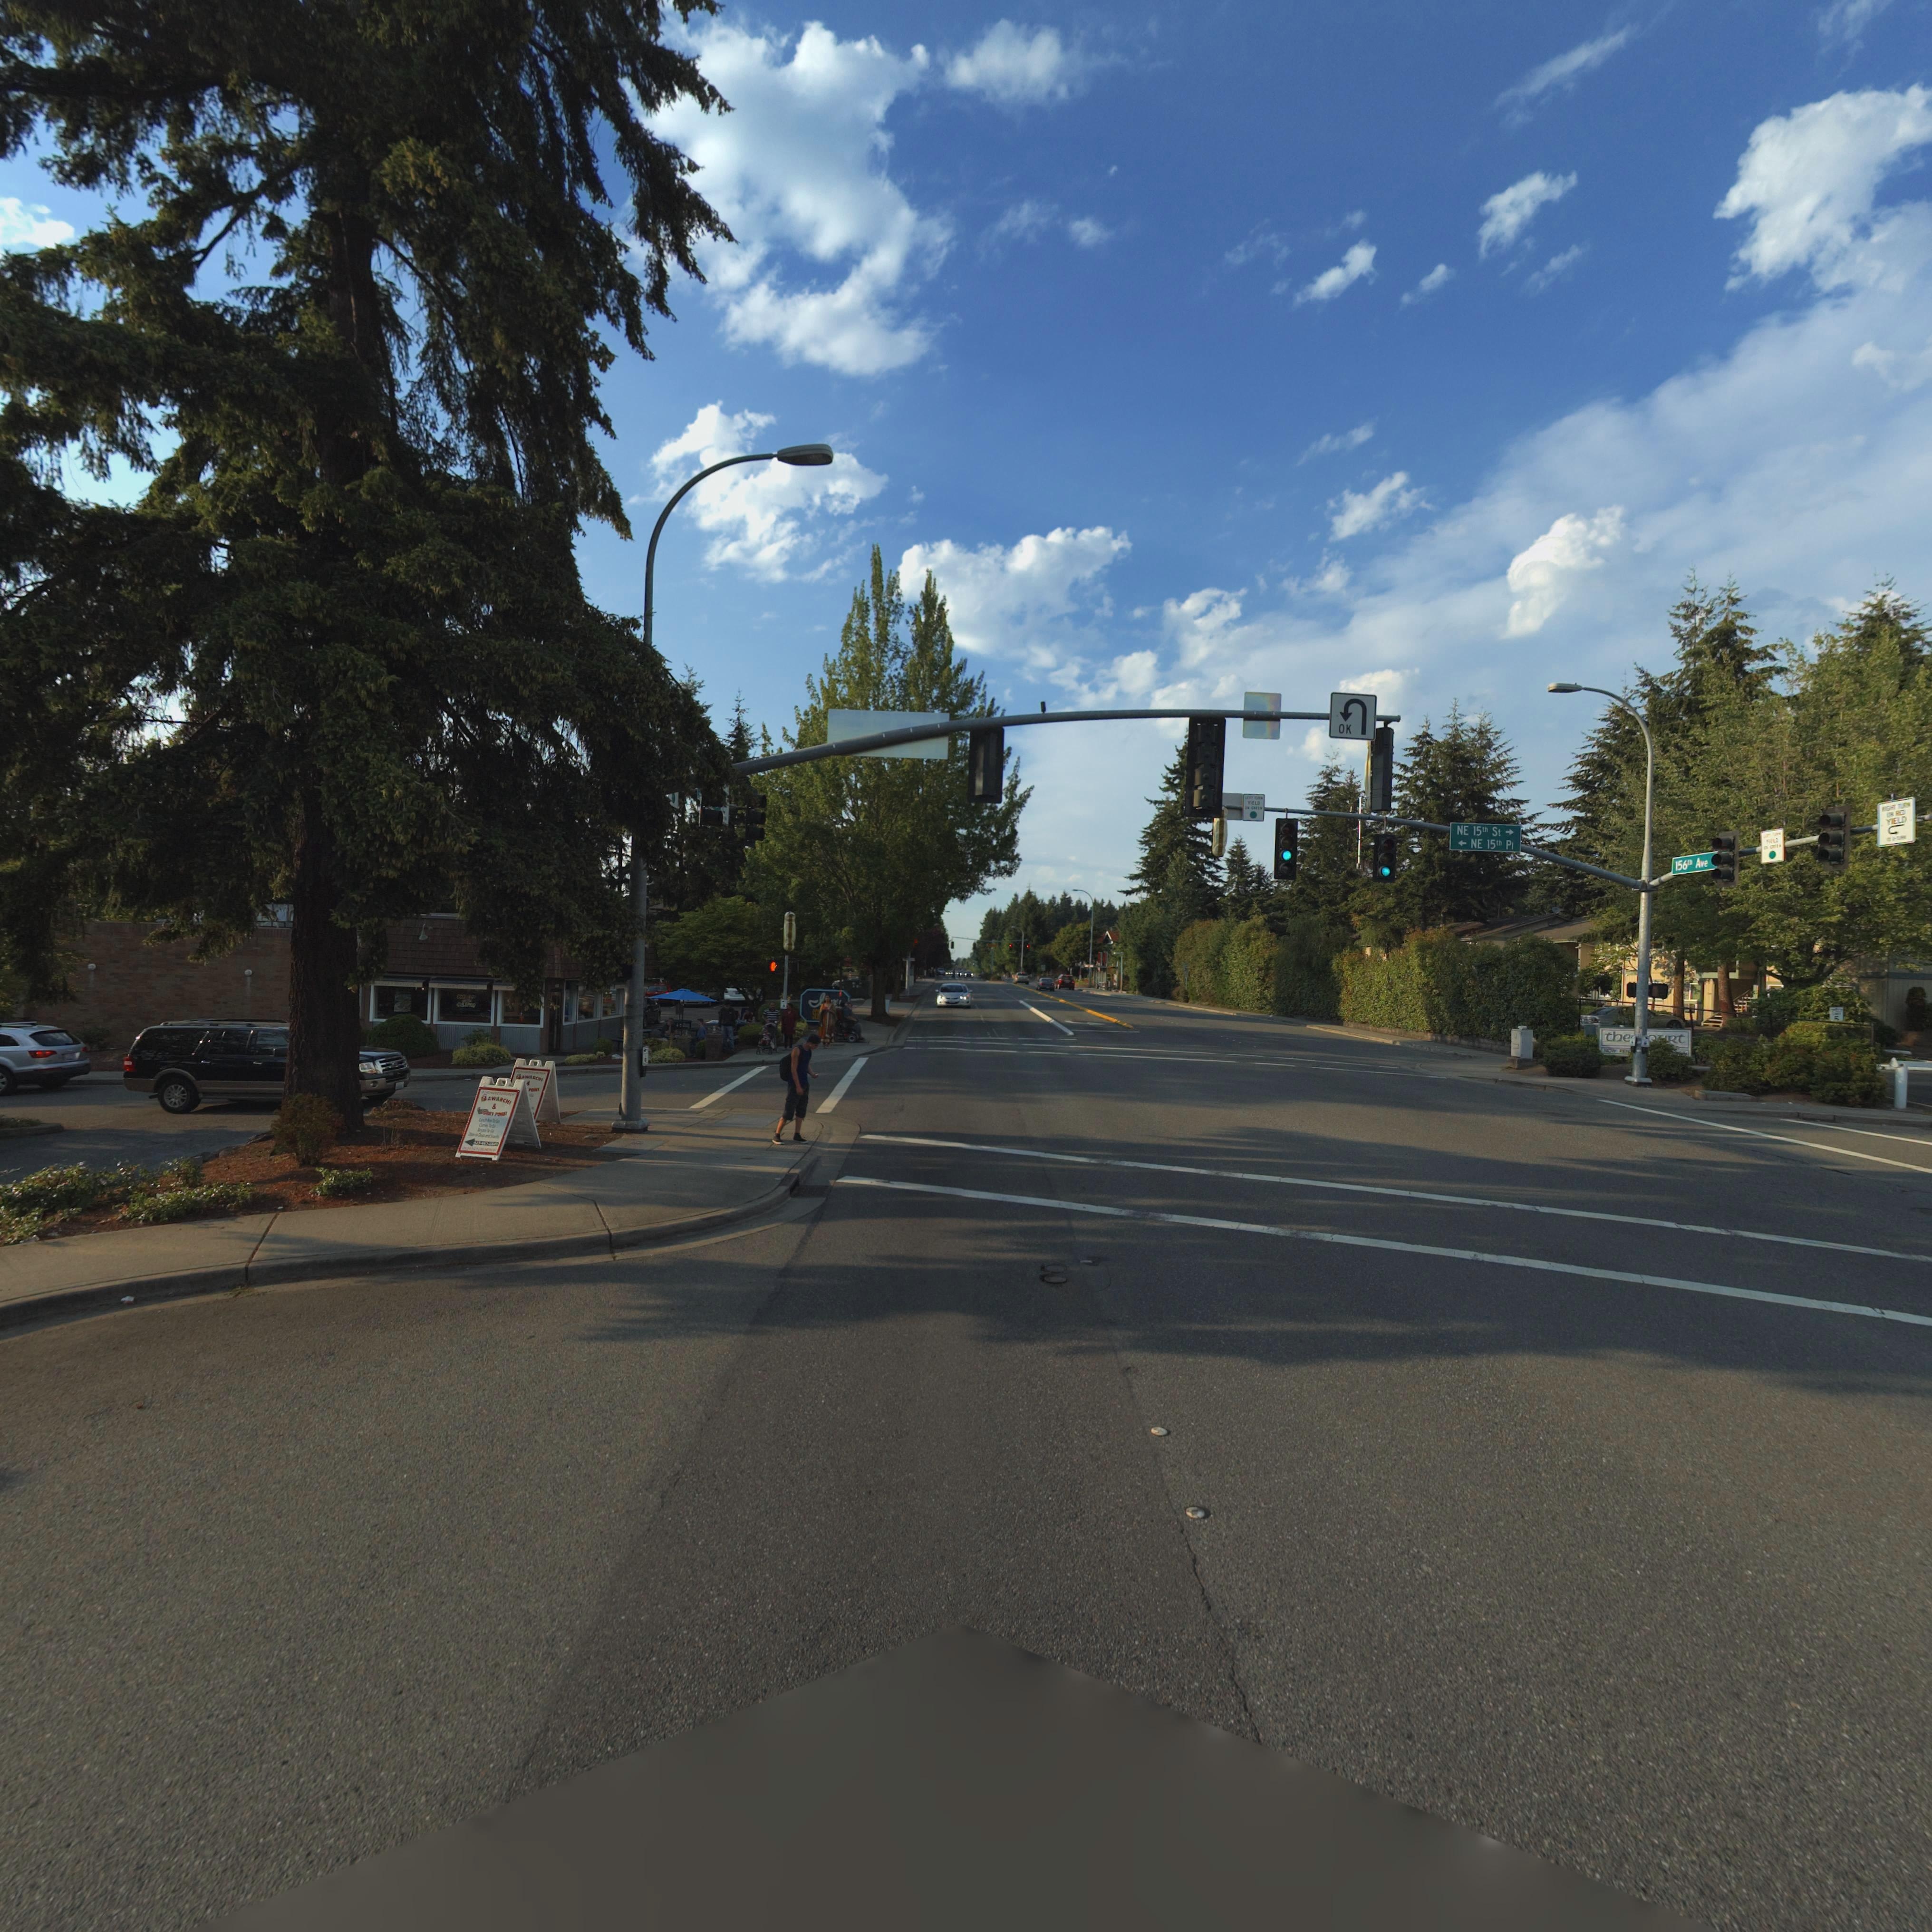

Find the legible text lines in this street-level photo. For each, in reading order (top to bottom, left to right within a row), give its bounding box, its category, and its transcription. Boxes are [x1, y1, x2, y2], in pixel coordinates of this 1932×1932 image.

[1457, 825, 1501, 836] StreetName: NE 15th St
[1470, 839, 1514, 850] StreetName: NE 15th Pl
[1675, 857, 1709, 871] StreetName: 156th Ave